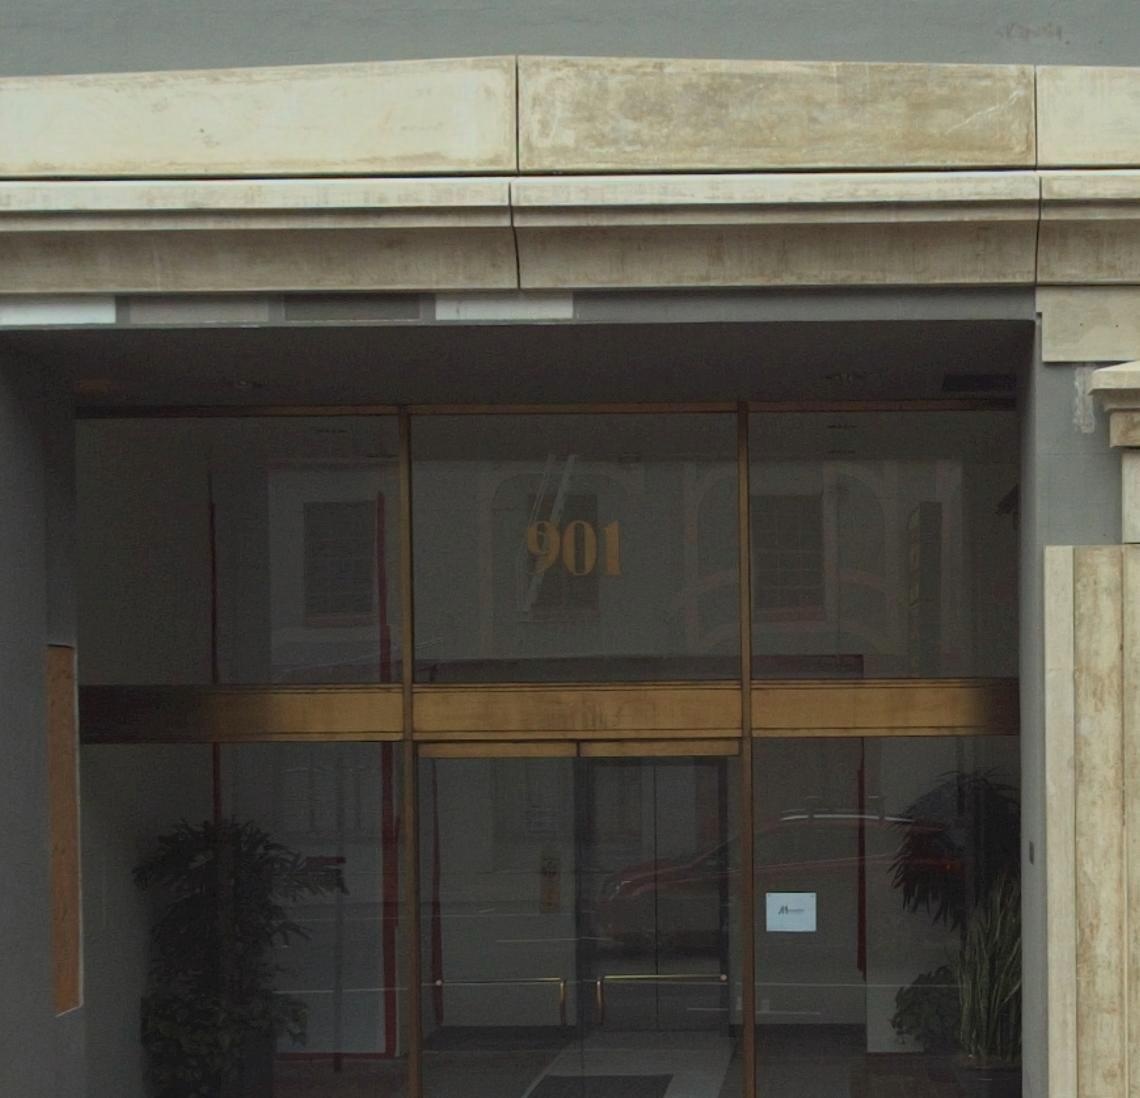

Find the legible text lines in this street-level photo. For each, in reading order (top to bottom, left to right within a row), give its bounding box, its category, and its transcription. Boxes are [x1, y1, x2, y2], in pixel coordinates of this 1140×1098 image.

[518, 514, 627, 582] StreetNumber: 901